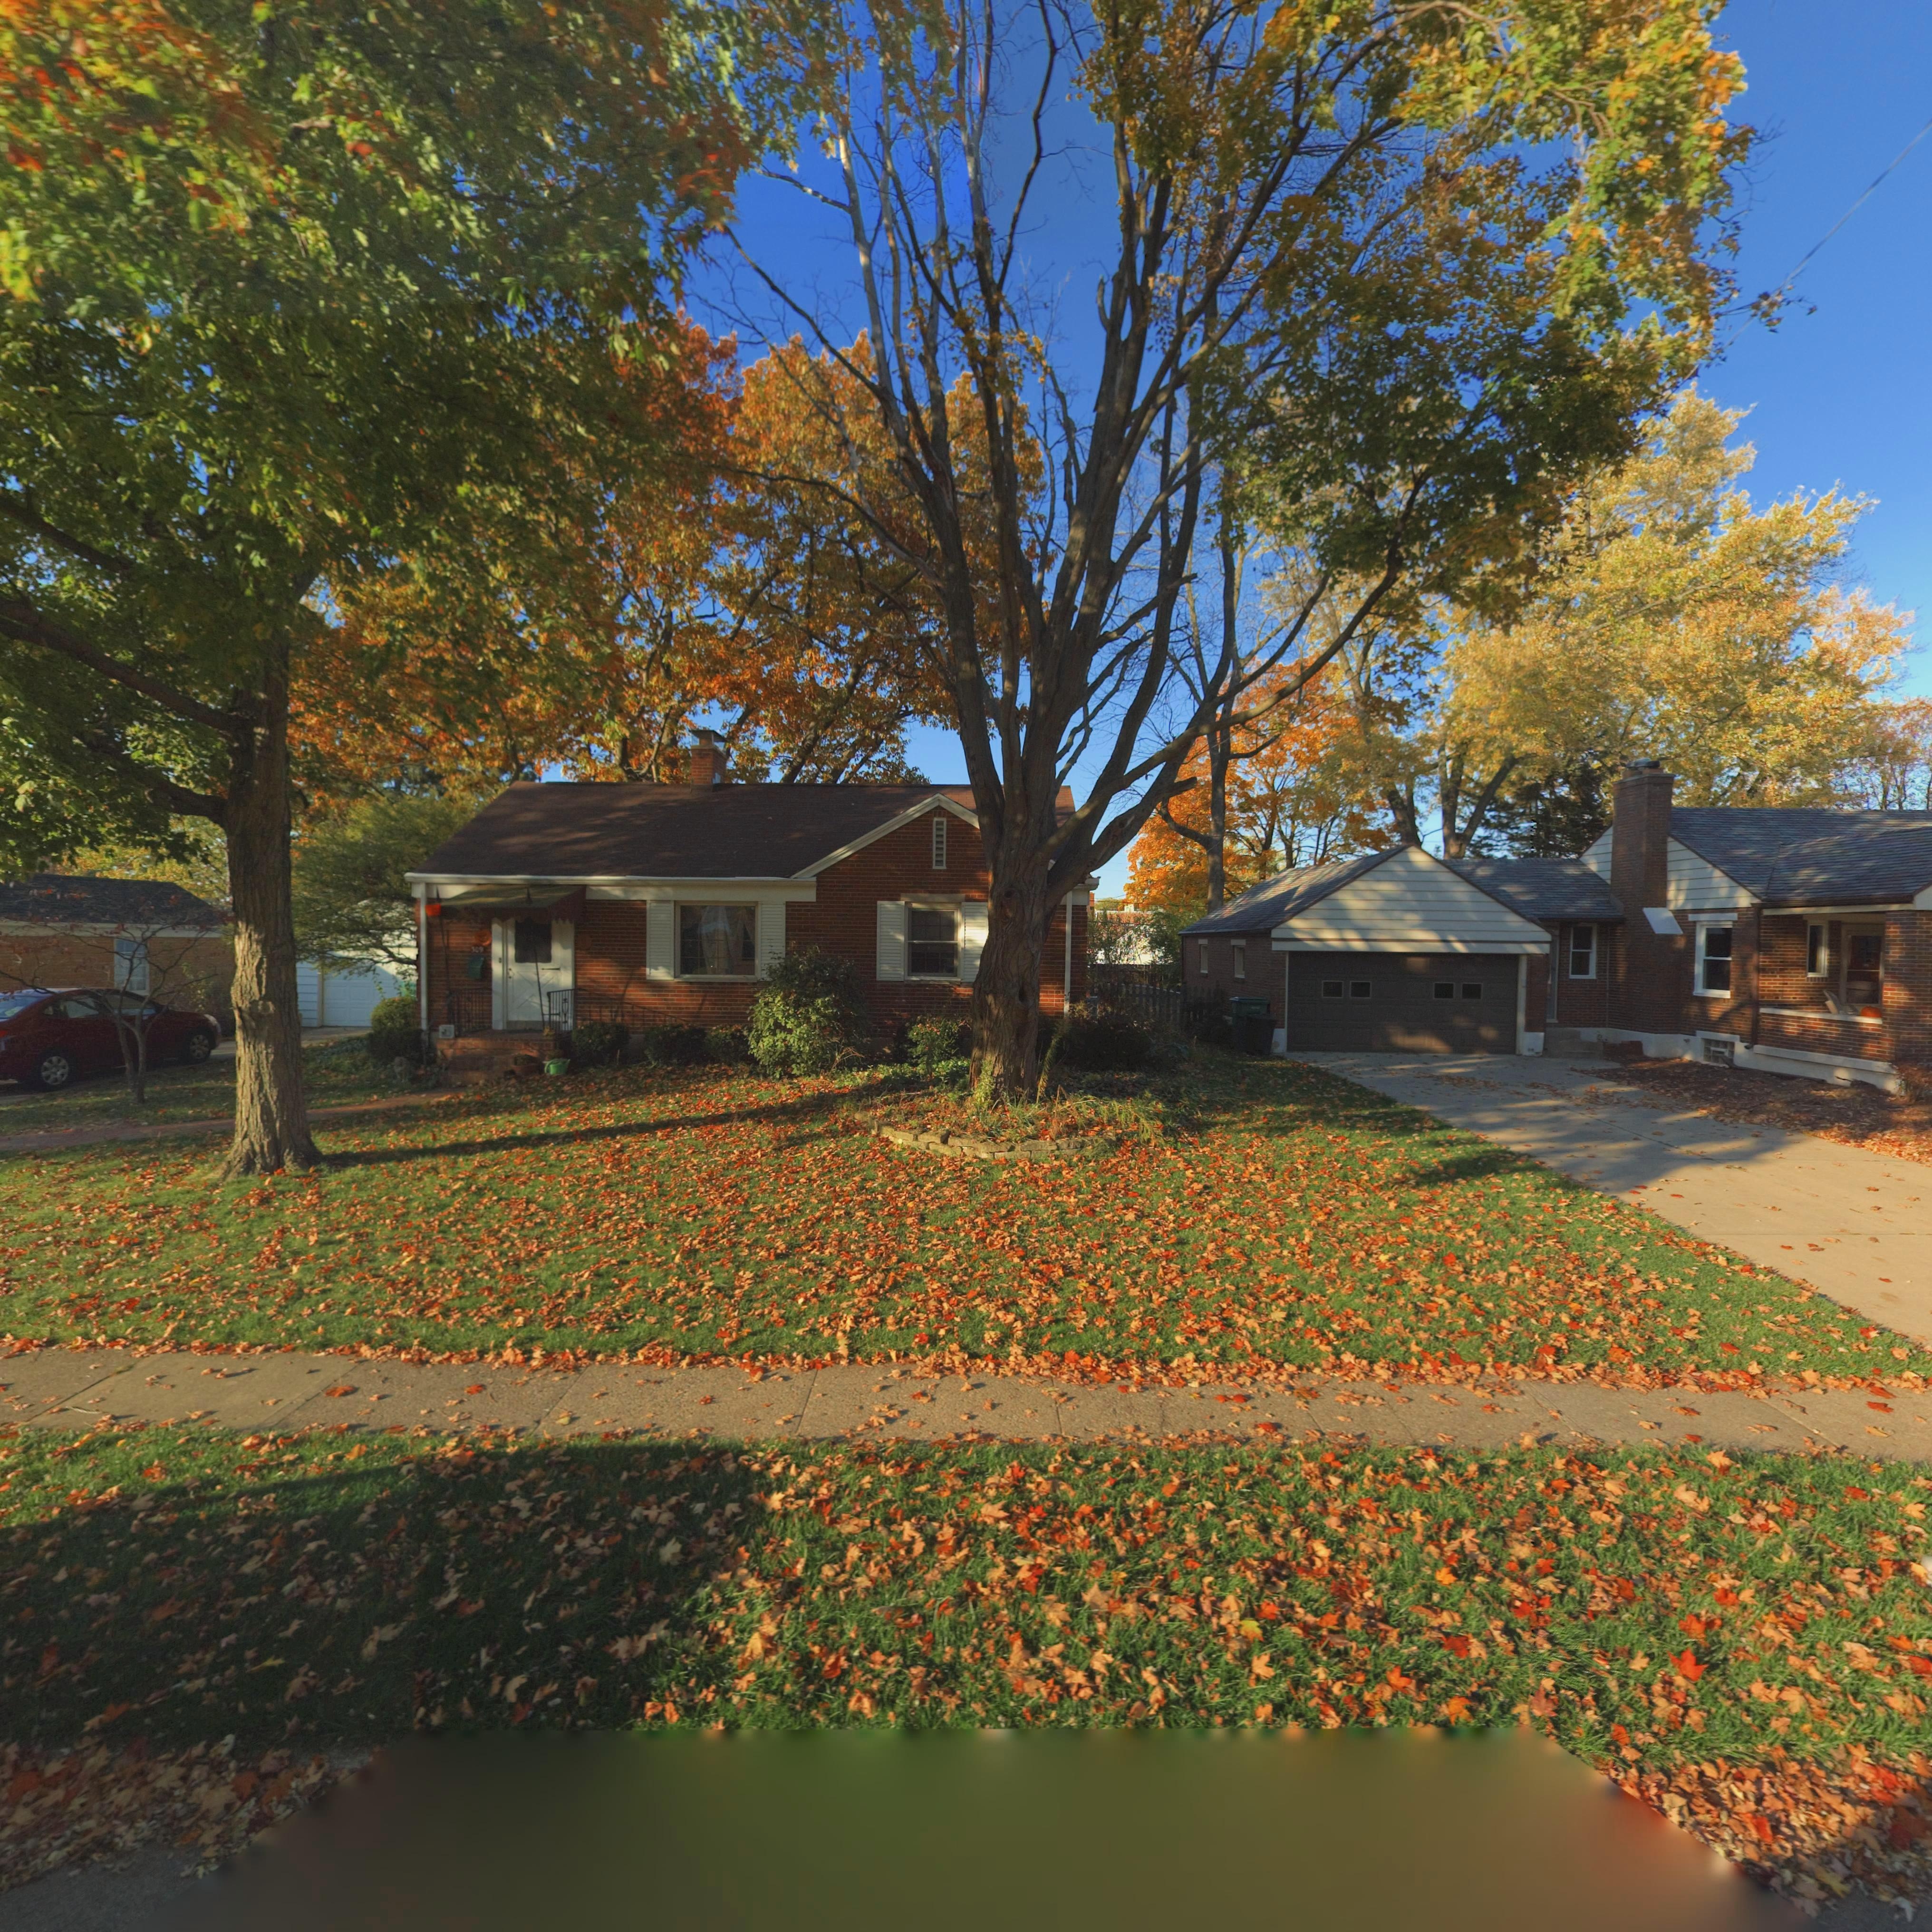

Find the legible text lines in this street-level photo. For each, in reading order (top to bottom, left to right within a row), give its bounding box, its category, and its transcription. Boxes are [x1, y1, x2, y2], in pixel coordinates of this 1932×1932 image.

[471, 946, 484, 953] StreetNumber: 309